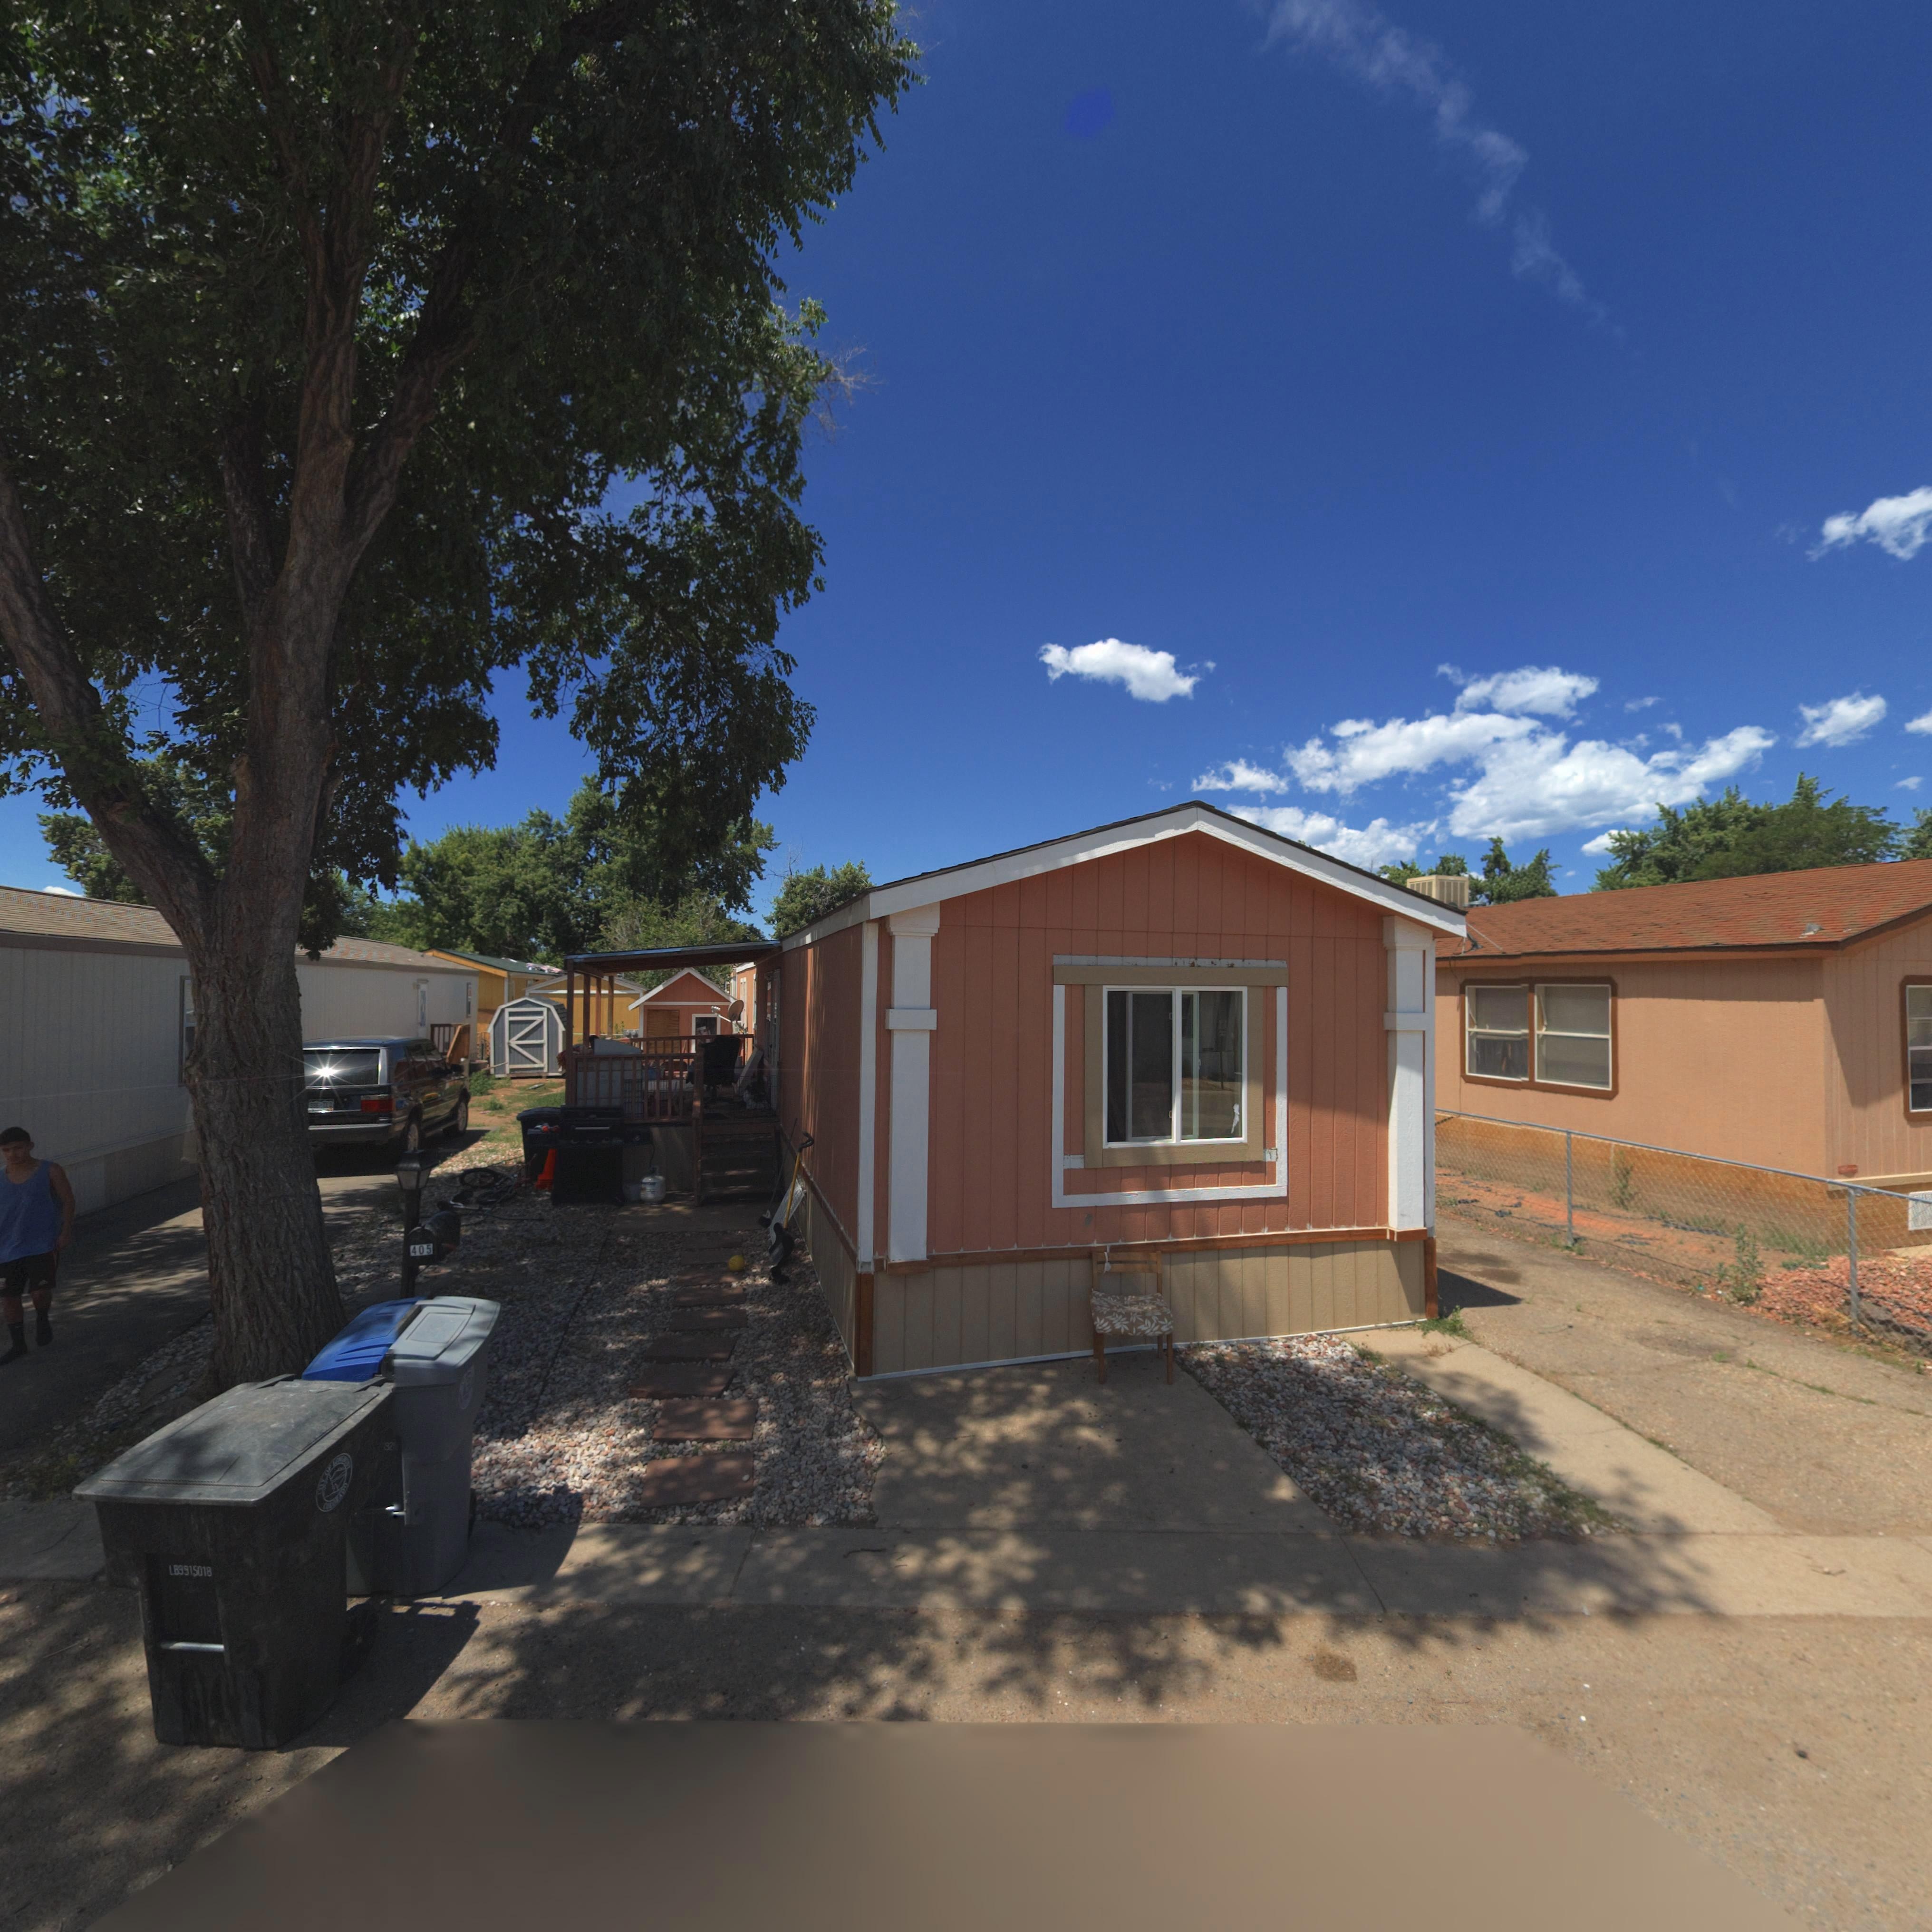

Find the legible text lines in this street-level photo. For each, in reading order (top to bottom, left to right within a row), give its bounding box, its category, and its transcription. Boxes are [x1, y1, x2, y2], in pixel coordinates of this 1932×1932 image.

[410, 1244, 431, 1255] StreetNumber: 405